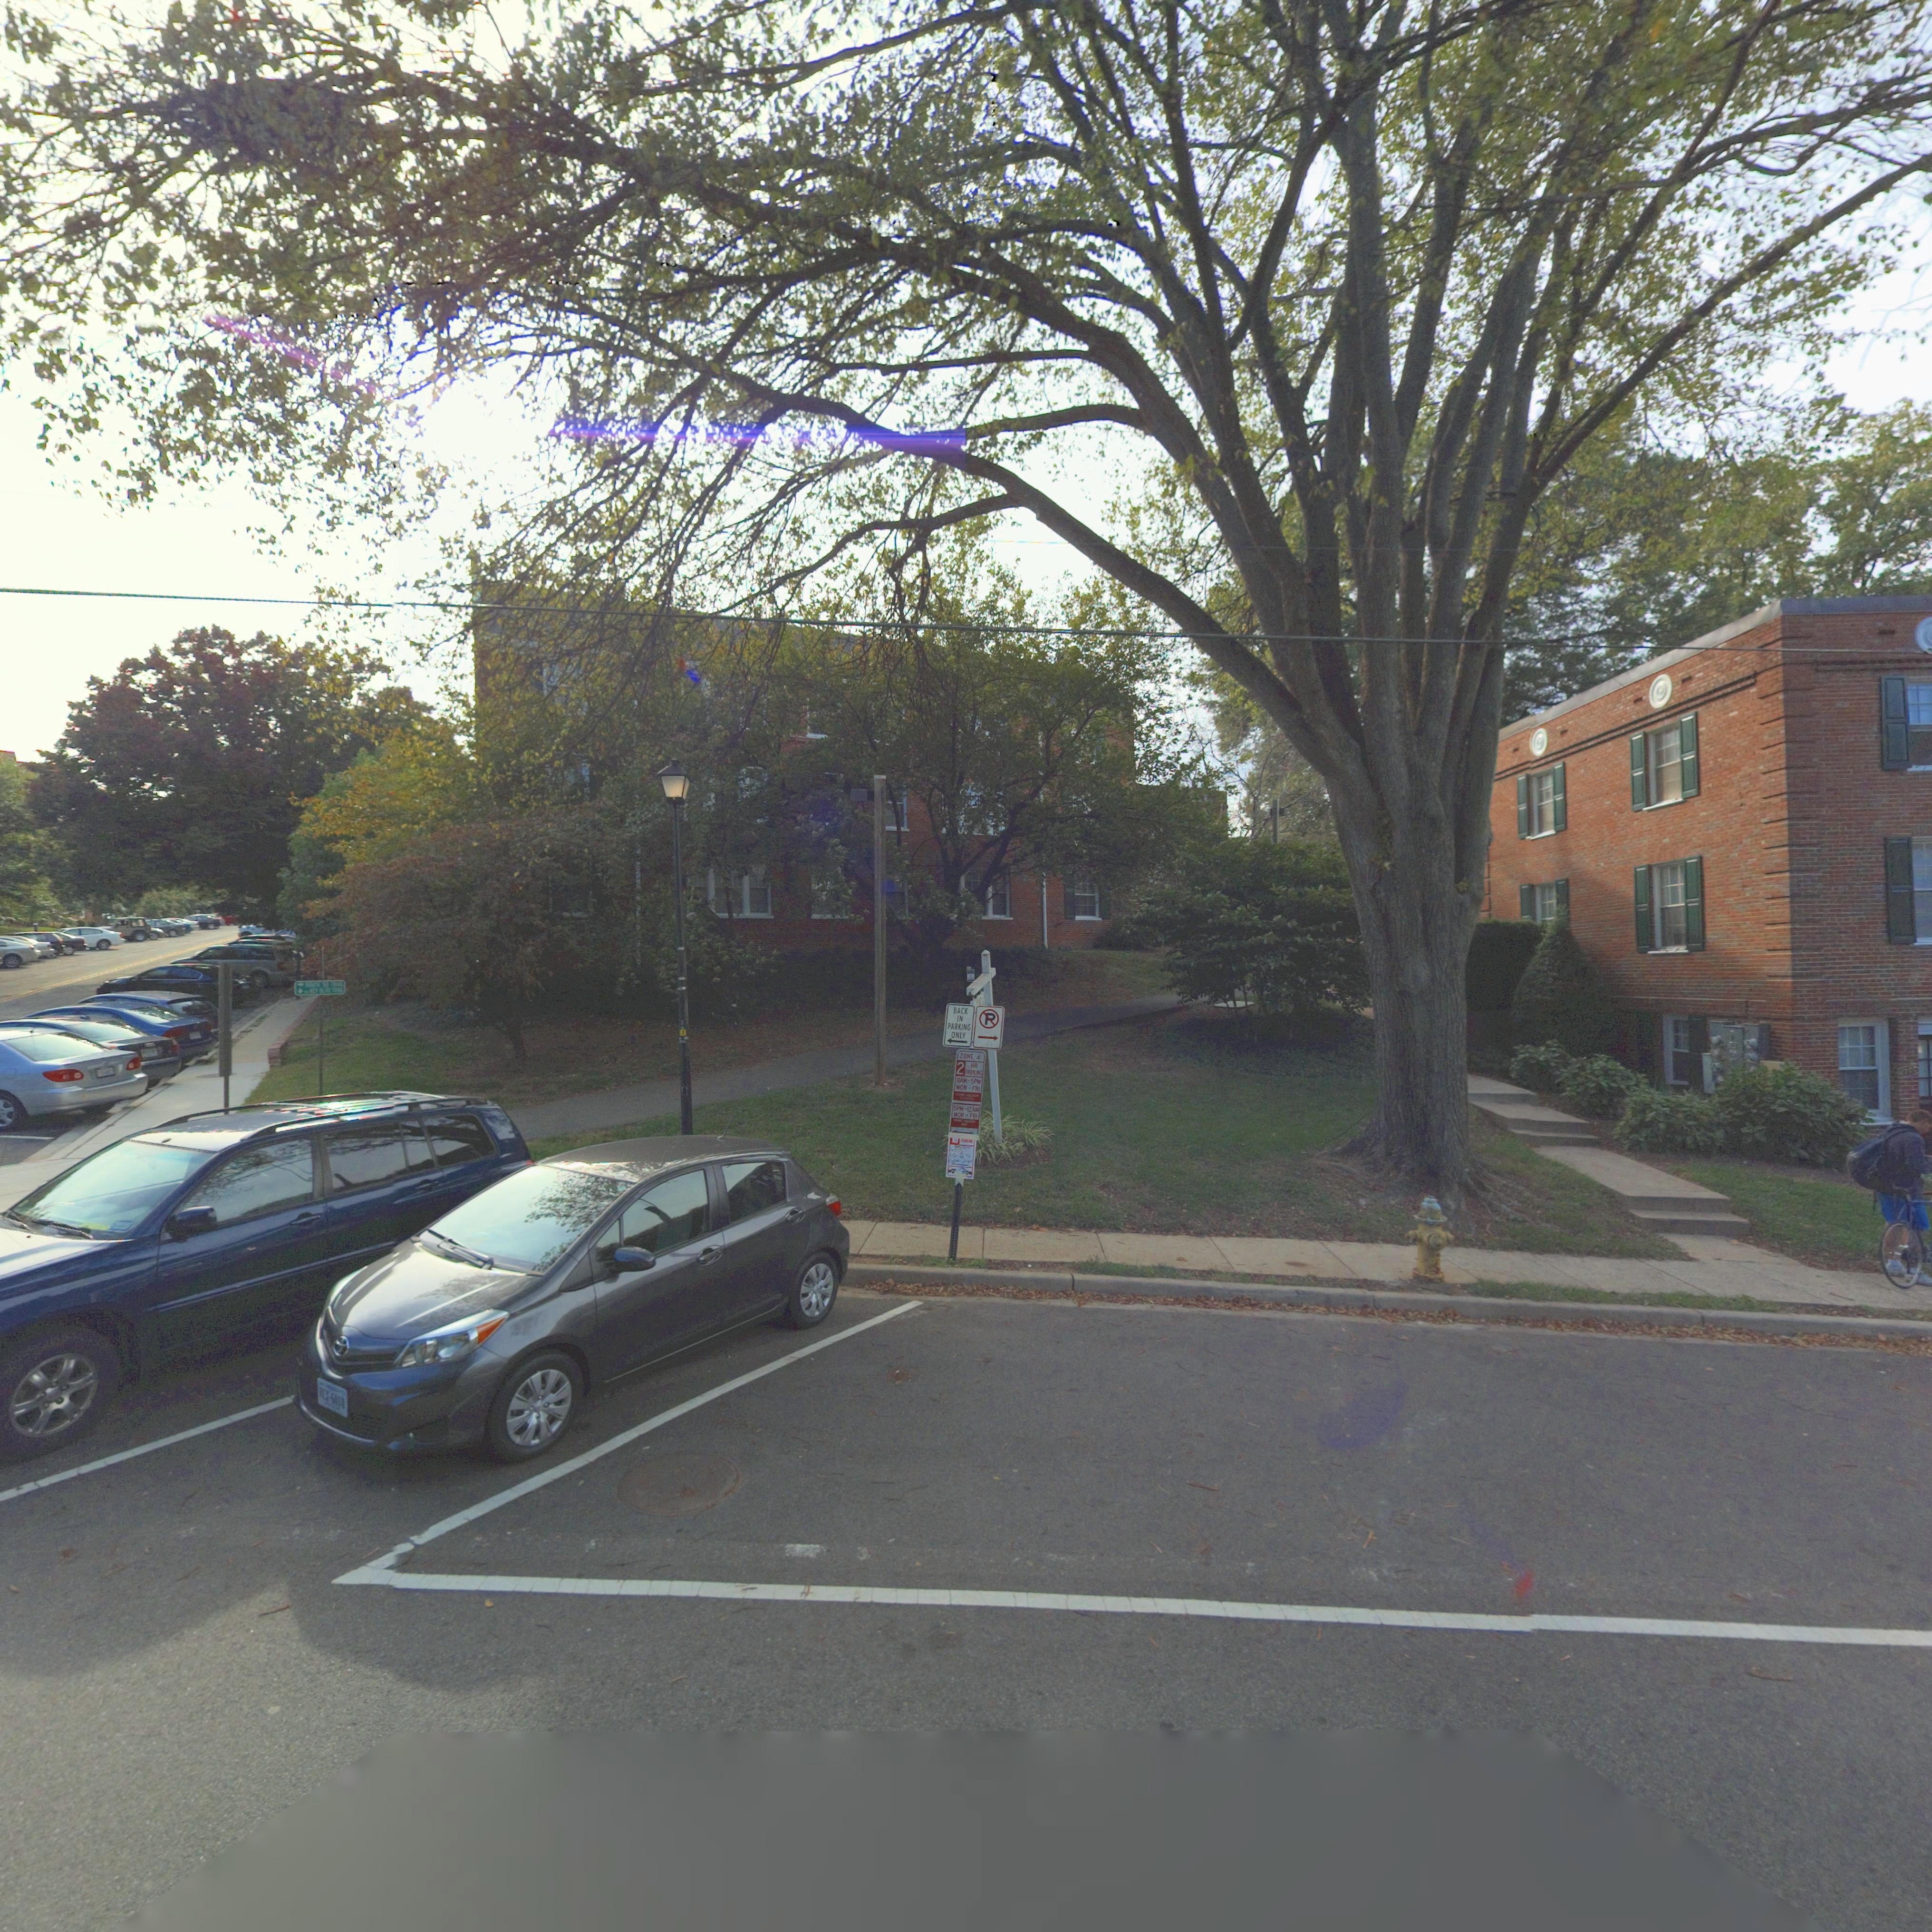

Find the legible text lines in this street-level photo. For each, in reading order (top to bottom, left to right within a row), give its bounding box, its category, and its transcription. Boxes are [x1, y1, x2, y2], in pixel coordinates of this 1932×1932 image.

[952, 1006, 970, 1015] None: BACK
[955, 1014, 965, 1024] None: IN
[947, 1022, 972, 1032] None: PARKING
[681, 1030, 686, 1036] None: 7
[949, 1031, 967, 1040] None: ONLY
[958, 1051, 982, 1062] None: ZONE 4
[955, 1061, 965, 1077] None: 2
[969, 1062, 979, 1070] None: HR
[966, 1069, 985, 1077] None: ARKING
[955, 1076, 982, 1085] None: 8AM-5PM
[955, 1083, 981, 1093] None: MON - FRI
[951, 1104, 979, 1113] None: 5PM-12AM
[953, 1111, 978, 1120] None: MON- FRI